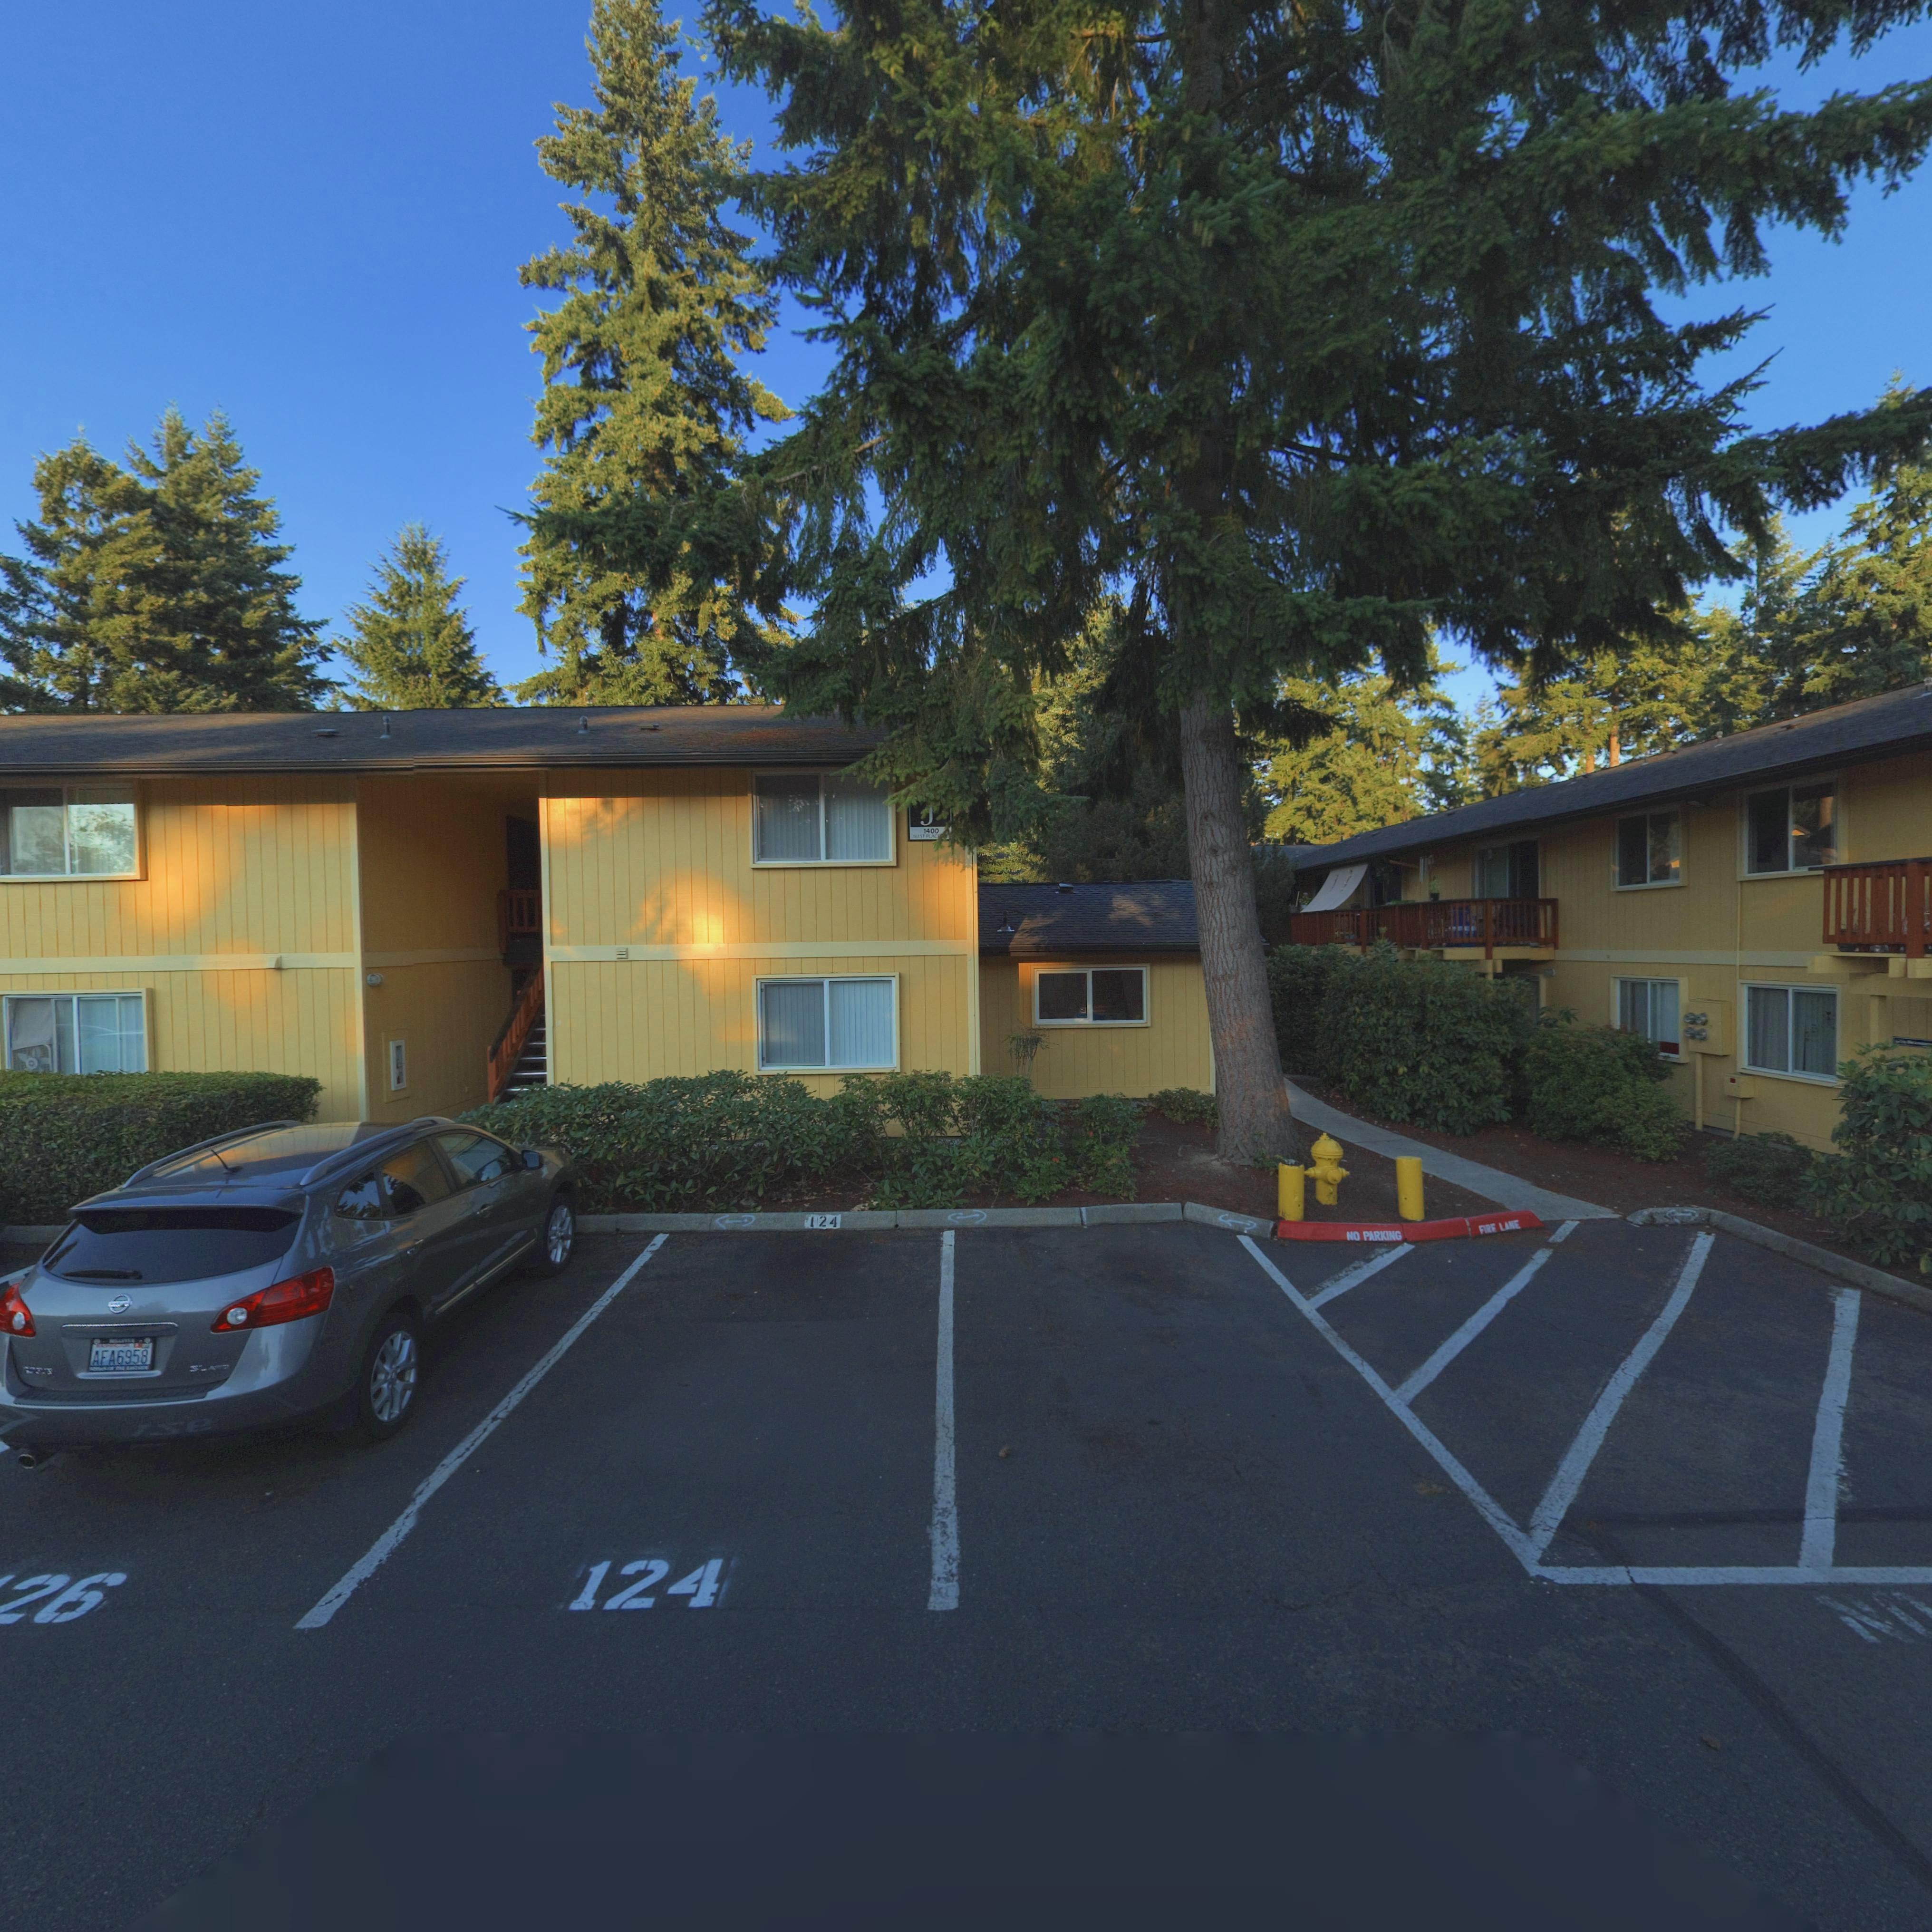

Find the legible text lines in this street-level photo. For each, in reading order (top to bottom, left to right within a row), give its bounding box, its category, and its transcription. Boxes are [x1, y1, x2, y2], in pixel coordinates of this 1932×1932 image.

[924, 828, 939, 833] StreetNumber: 1400
[913, 834, 941, 838] StreetName: 161ST PLAC*